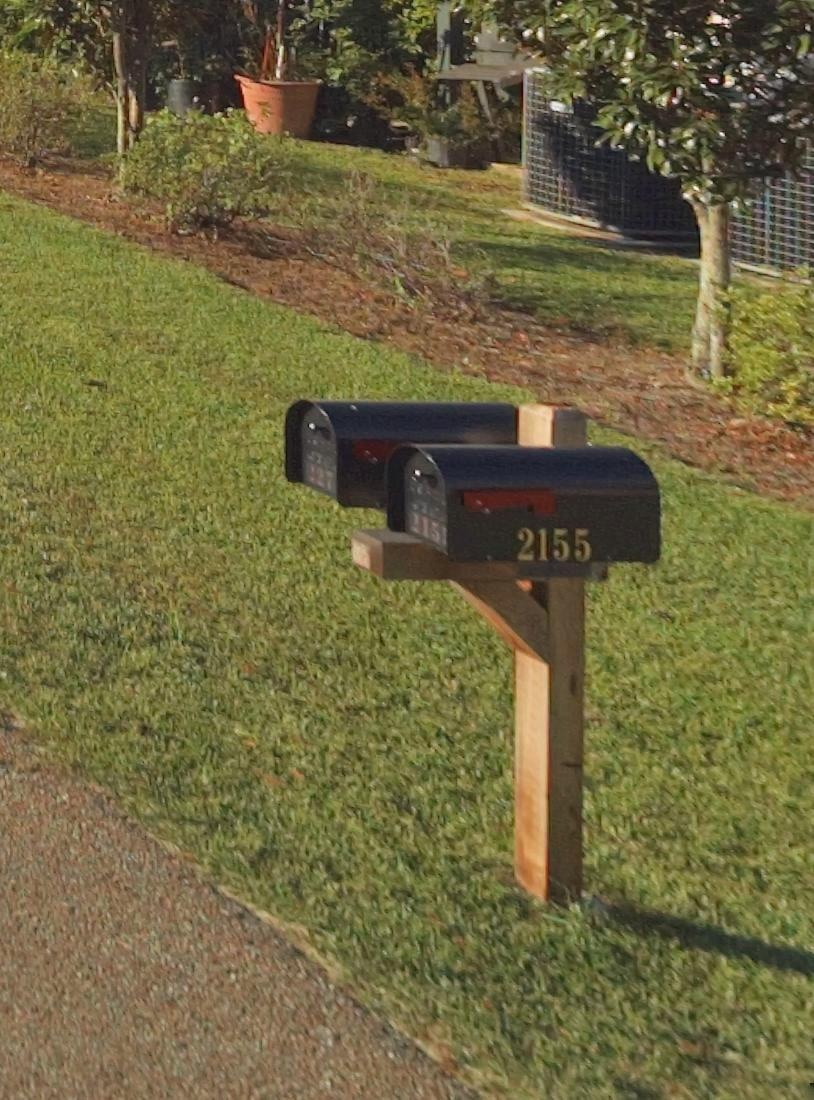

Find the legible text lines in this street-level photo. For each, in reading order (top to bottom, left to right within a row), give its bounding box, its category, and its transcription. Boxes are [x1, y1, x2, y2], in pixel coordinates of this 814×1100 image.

[314, 463, 327, 493] StreetNumber: 2
[408, 506, 443, 550] StreetNumber: 215
[514, 524, 594, 564] StreetNumber: 2155